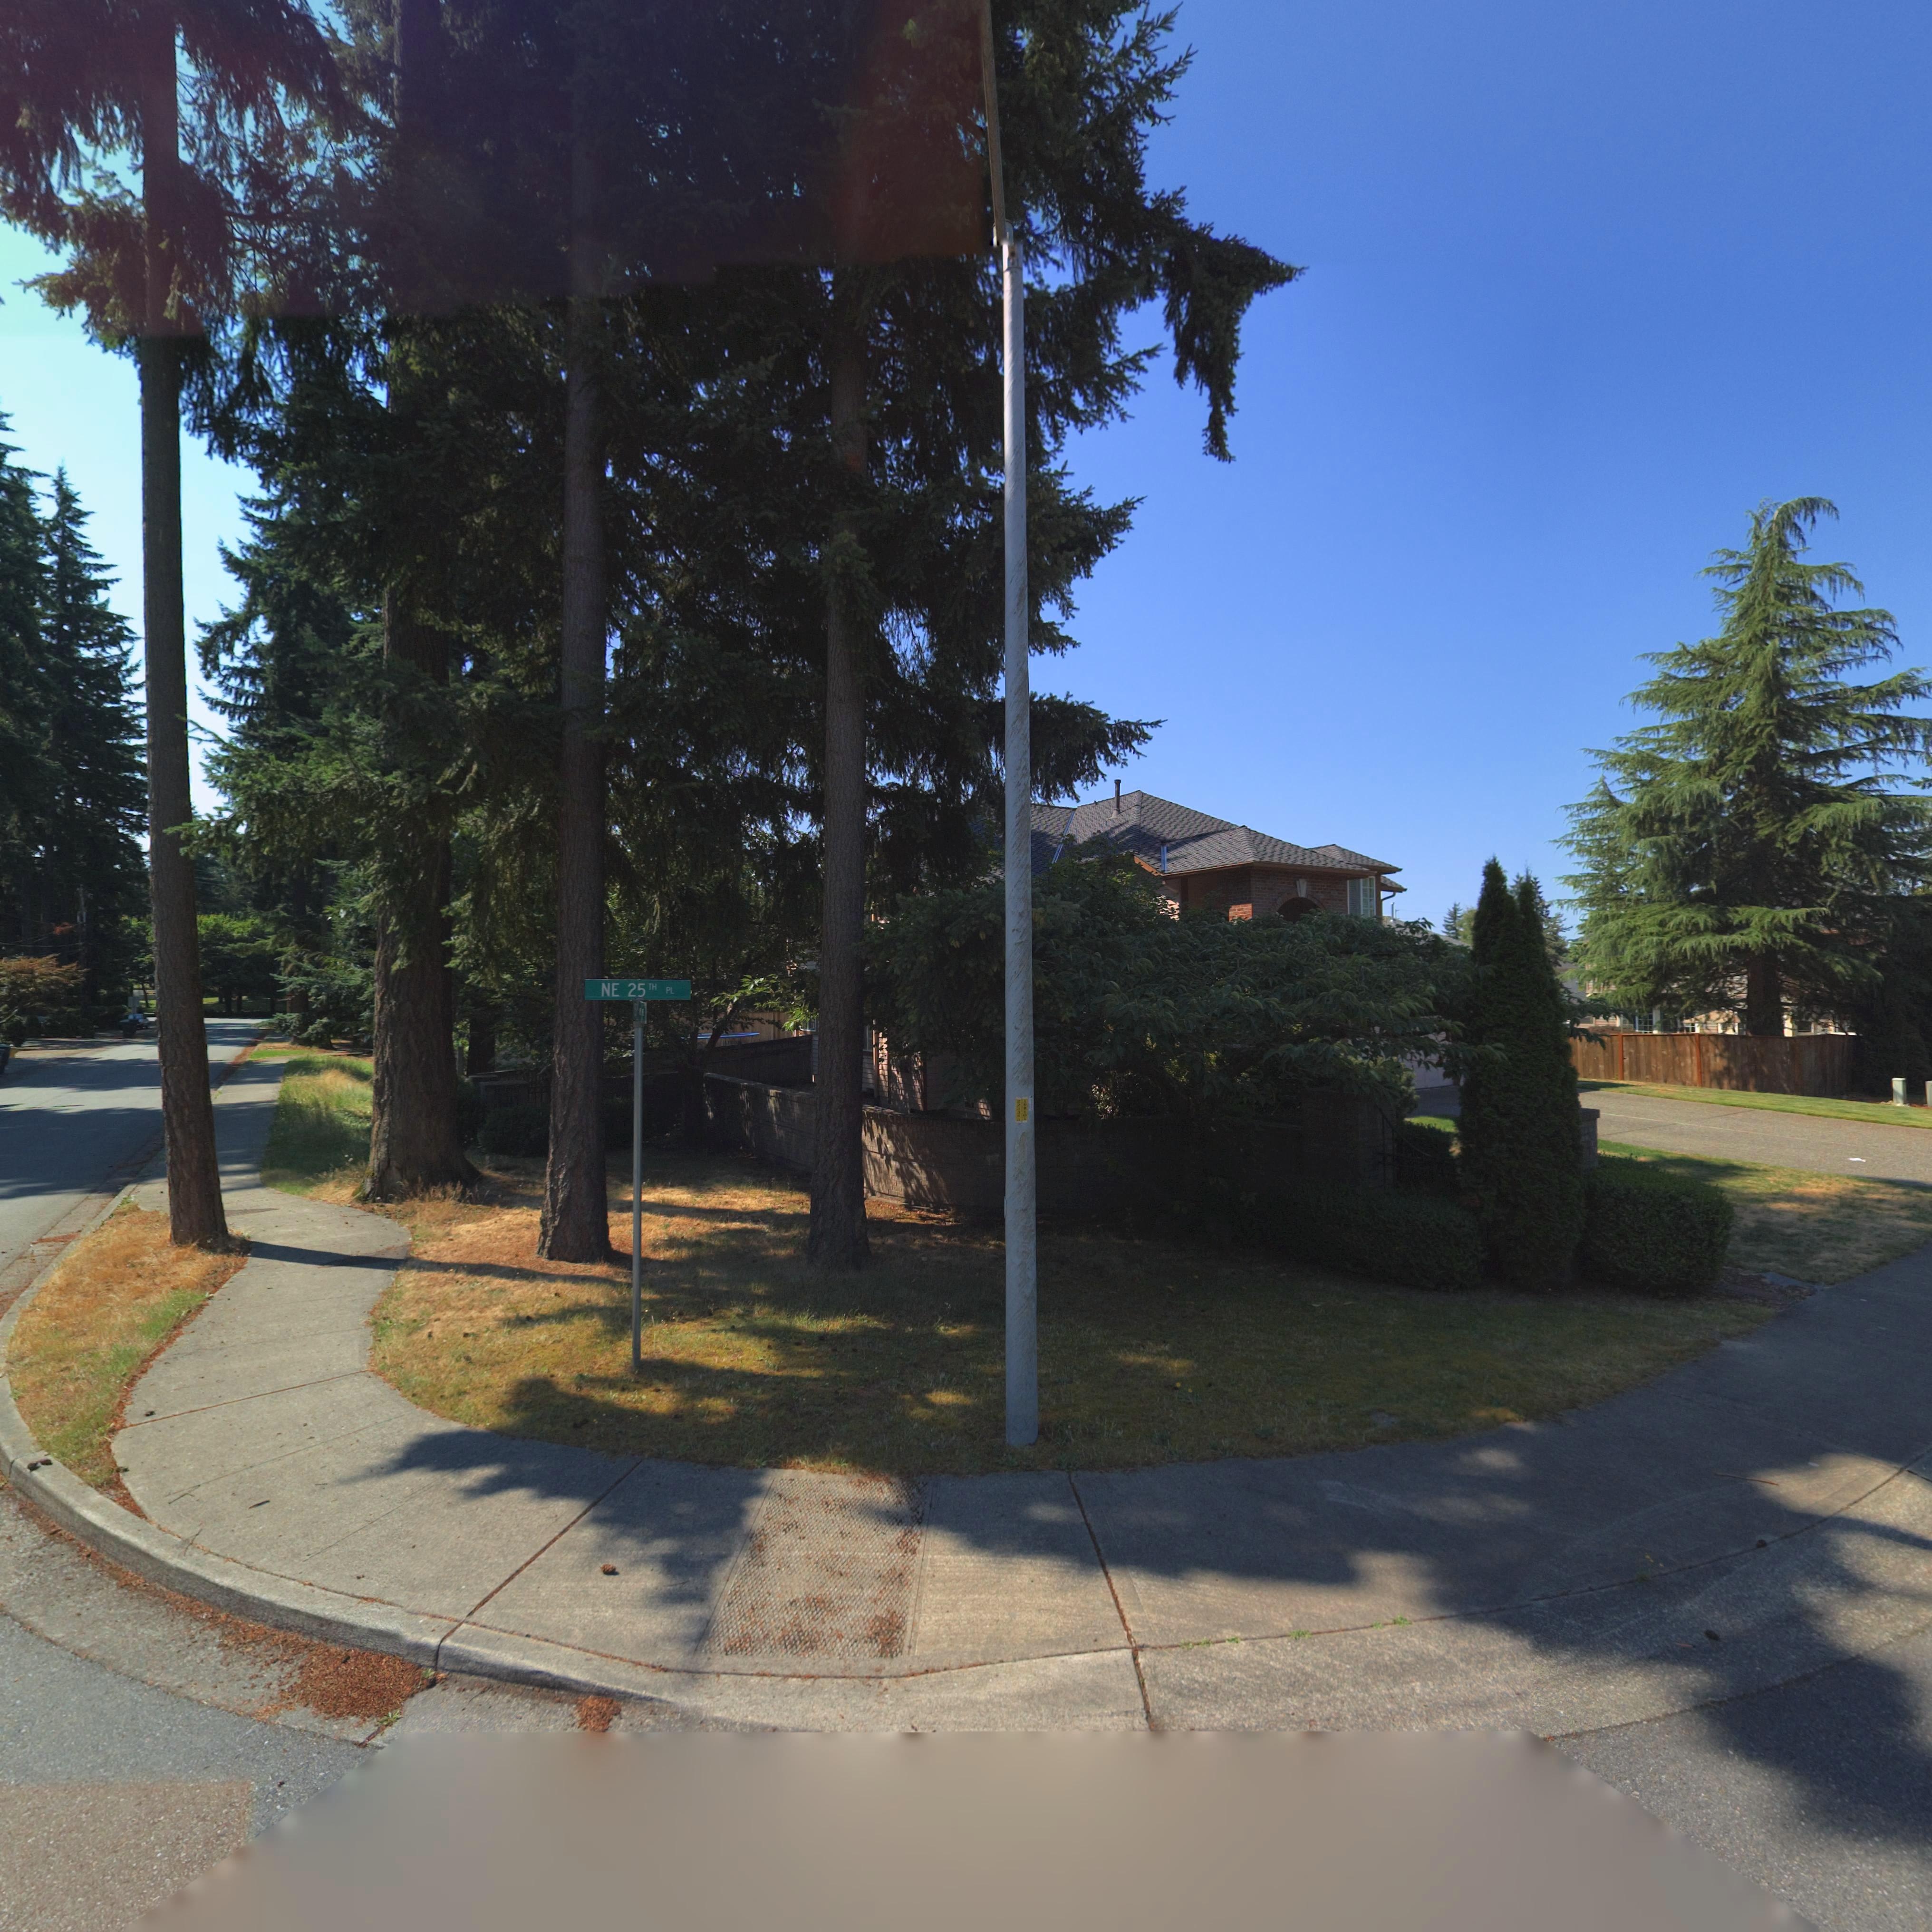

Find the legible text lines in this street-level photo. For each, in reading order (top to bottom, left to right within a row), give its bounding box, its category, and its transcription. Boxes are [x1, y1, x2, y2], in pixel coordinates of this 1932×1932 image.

[601, 983, 675, 996] StreetName: NE 25TH PL